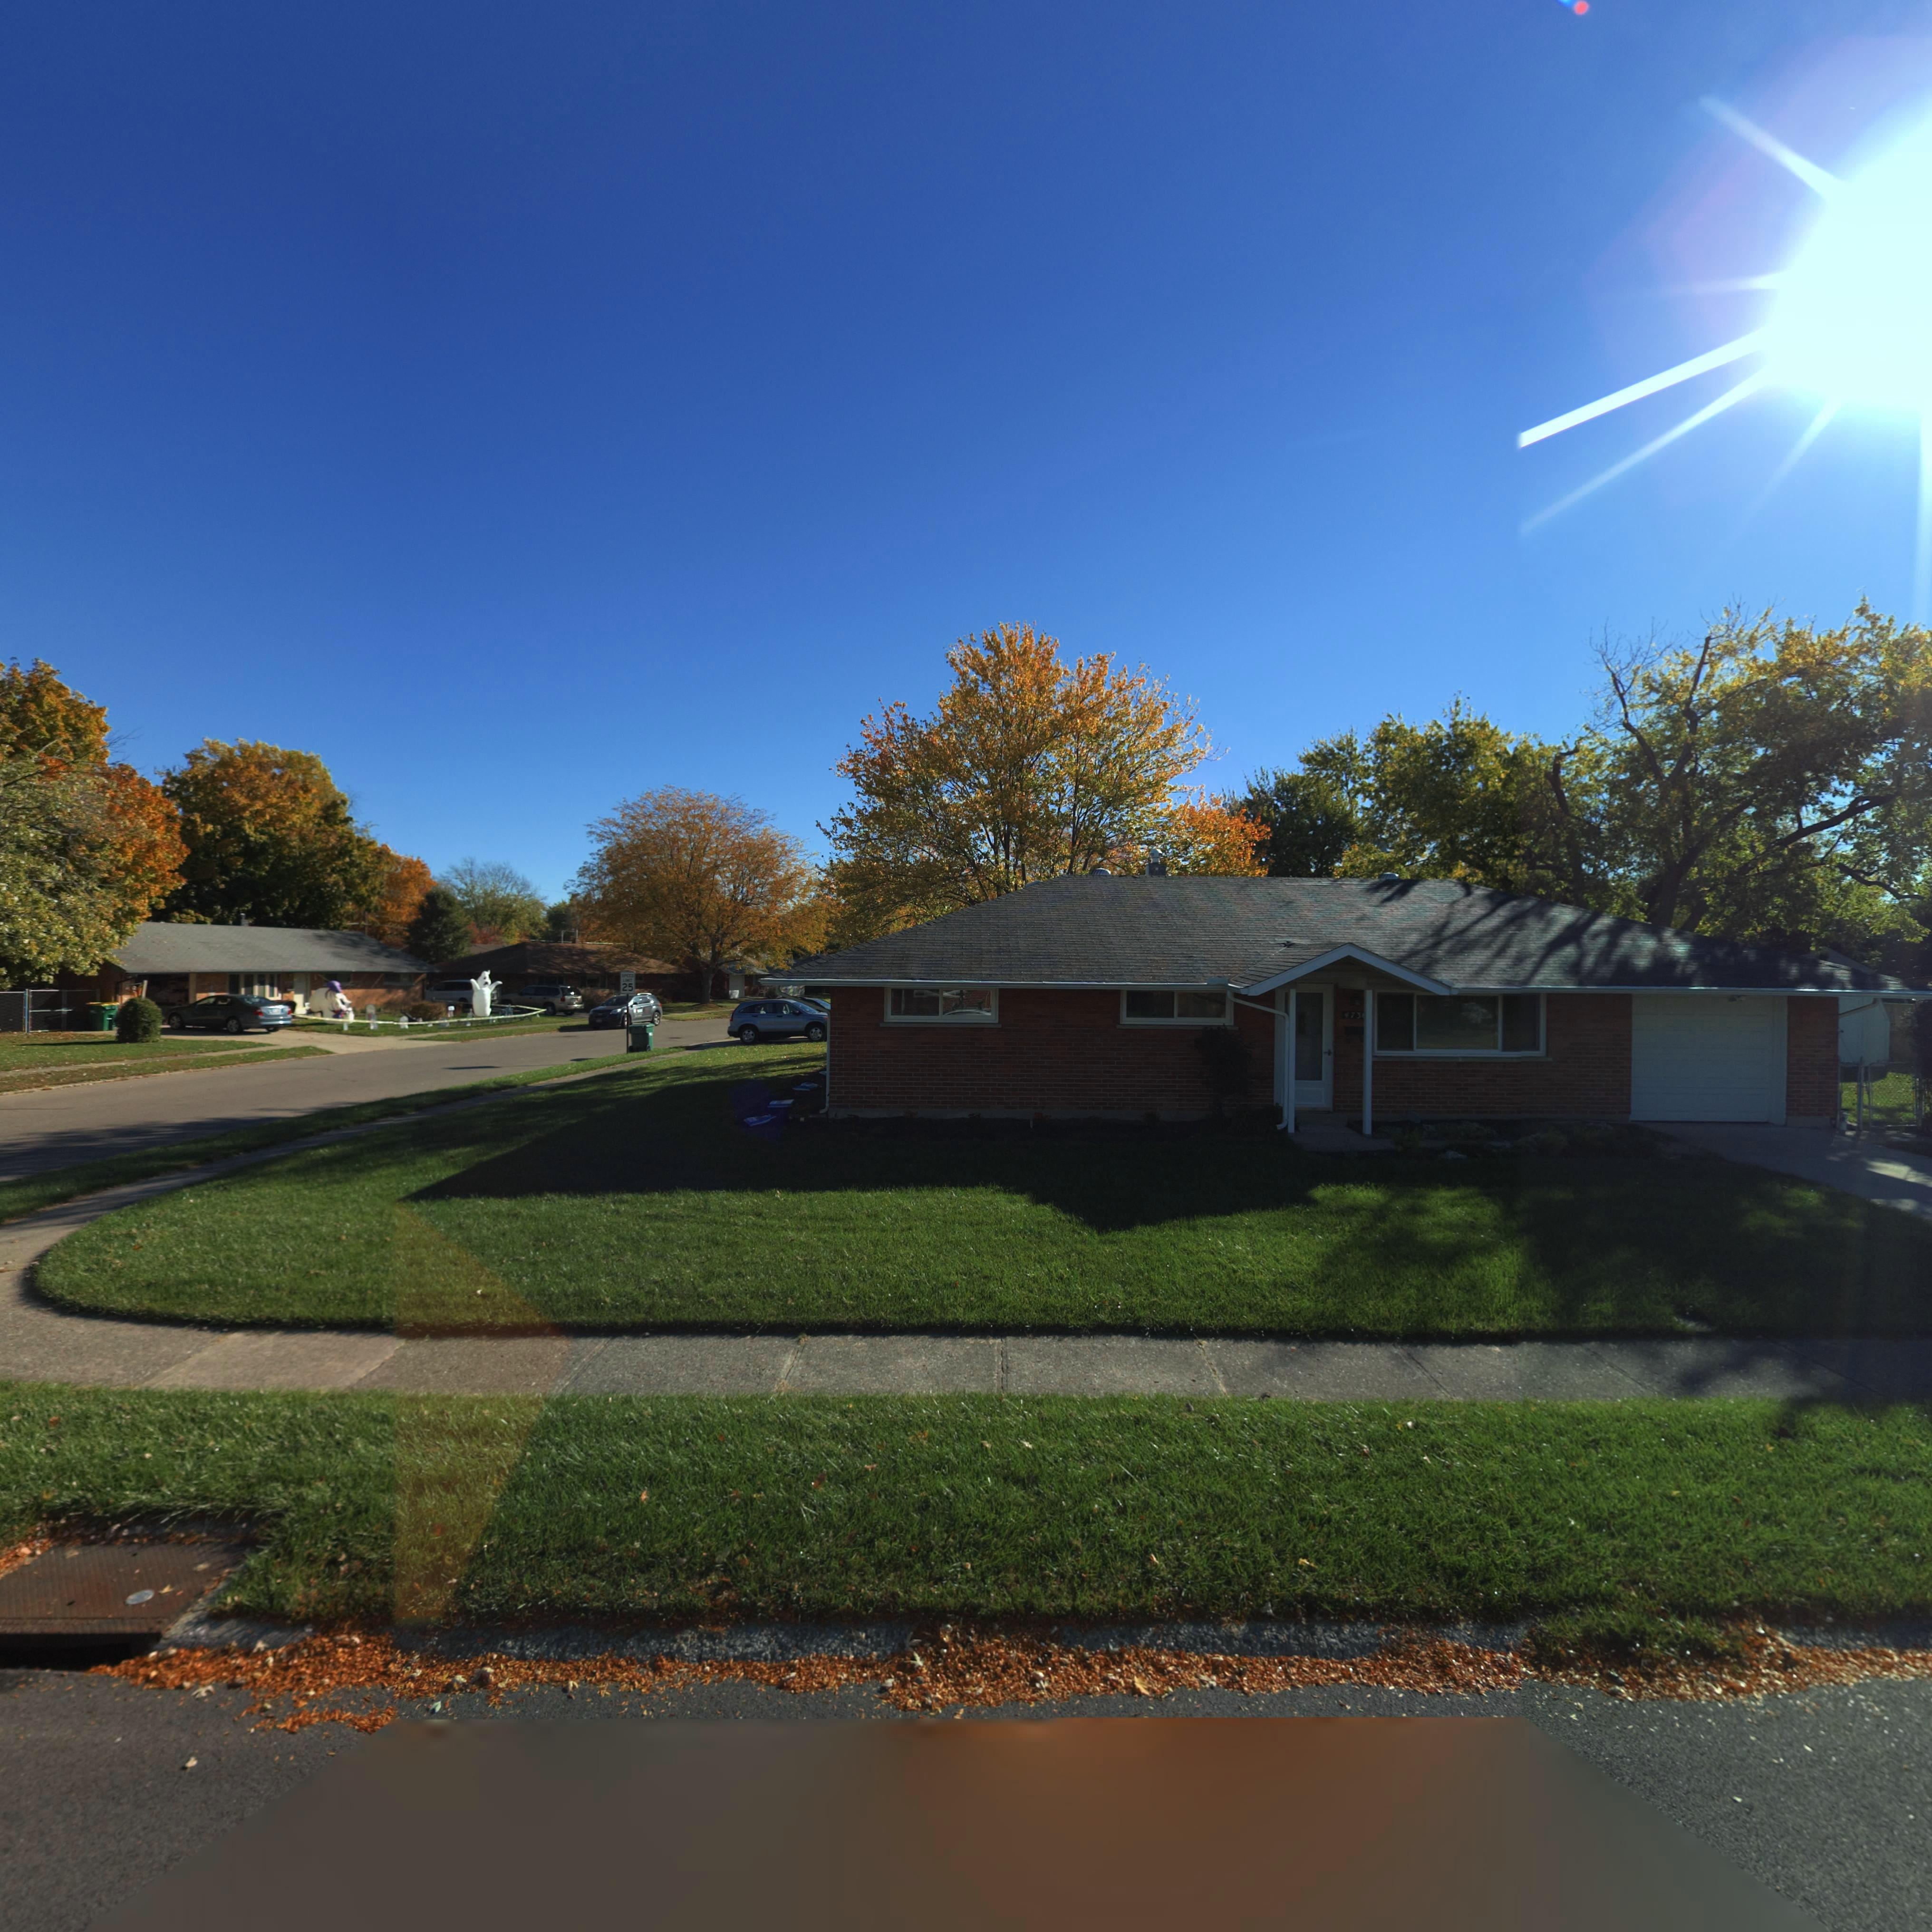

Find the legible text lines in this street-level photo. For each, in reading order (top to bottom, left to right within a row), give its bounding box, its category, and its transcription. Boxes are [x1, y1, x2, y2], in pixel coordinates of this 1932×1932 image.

[1343, 1011, 1361, 1019] StreetNumber: 473